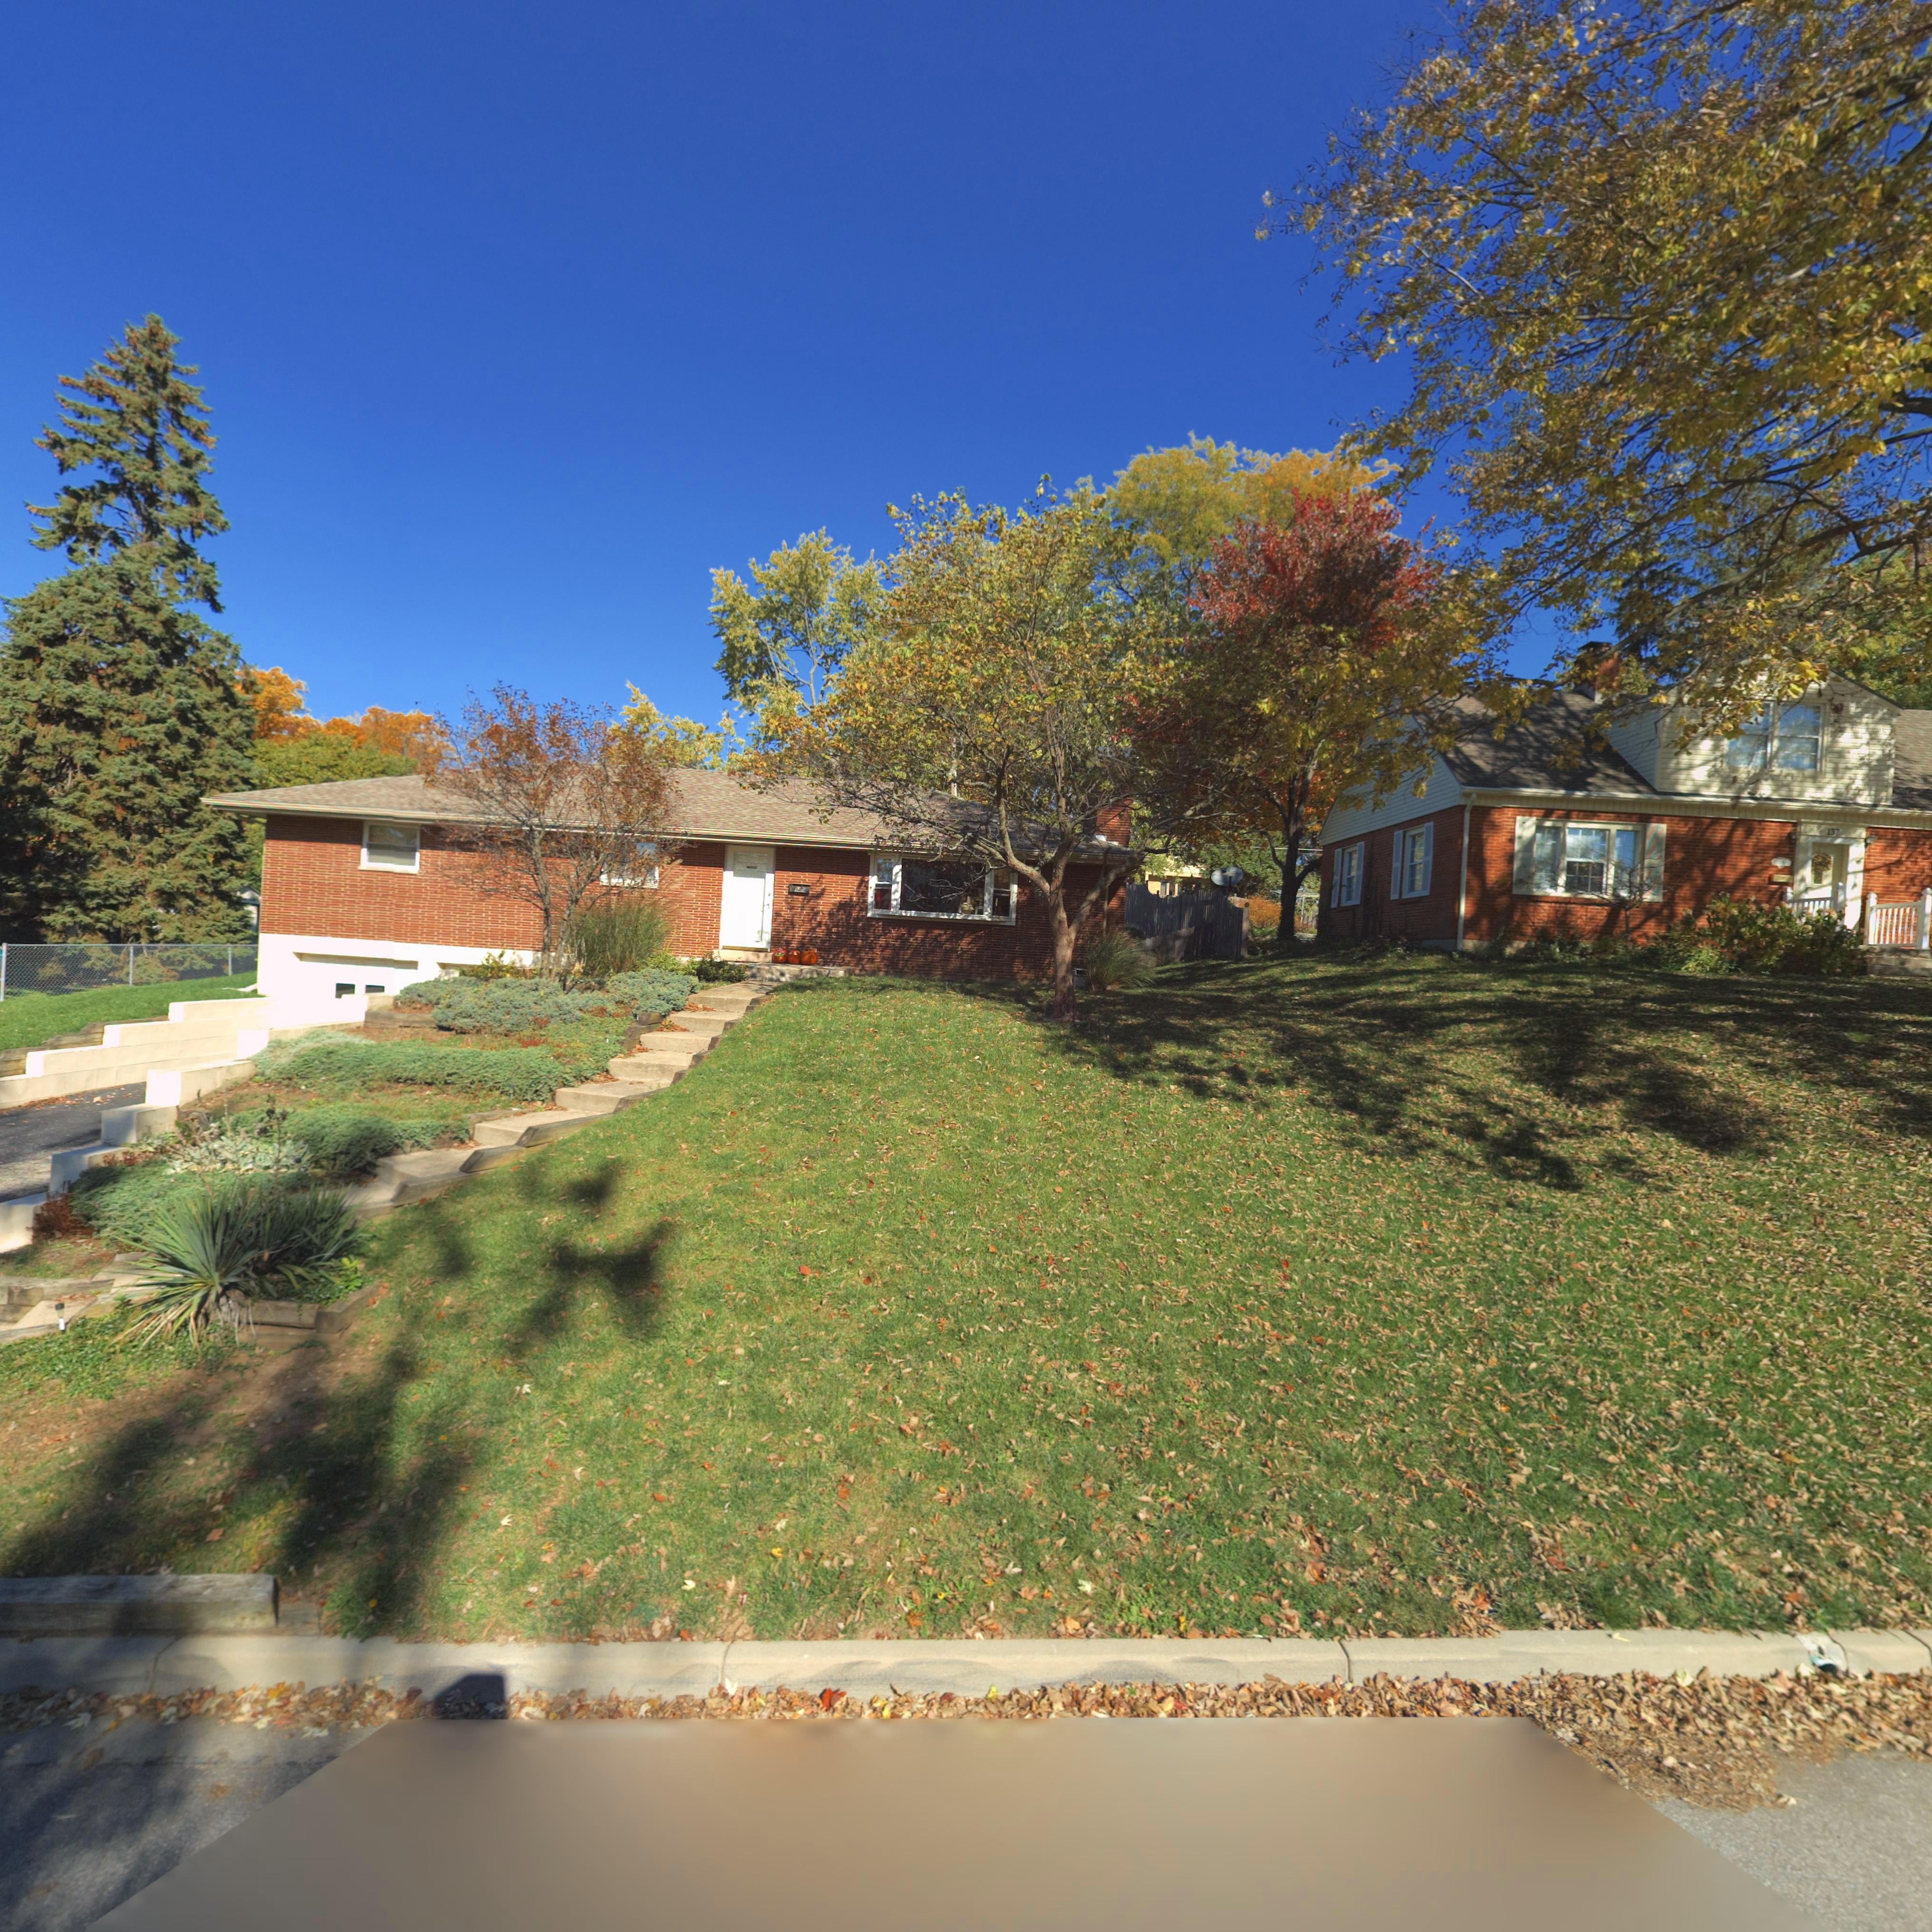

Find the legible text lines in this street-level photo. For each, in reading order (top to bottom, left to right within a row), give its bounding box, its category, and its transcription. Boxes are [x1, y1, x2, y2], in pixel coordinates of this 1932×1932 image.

[1826, 828, 1840, 837] StreetNumber: 137
[794, 887, 806, 892] StreetNumber: 149